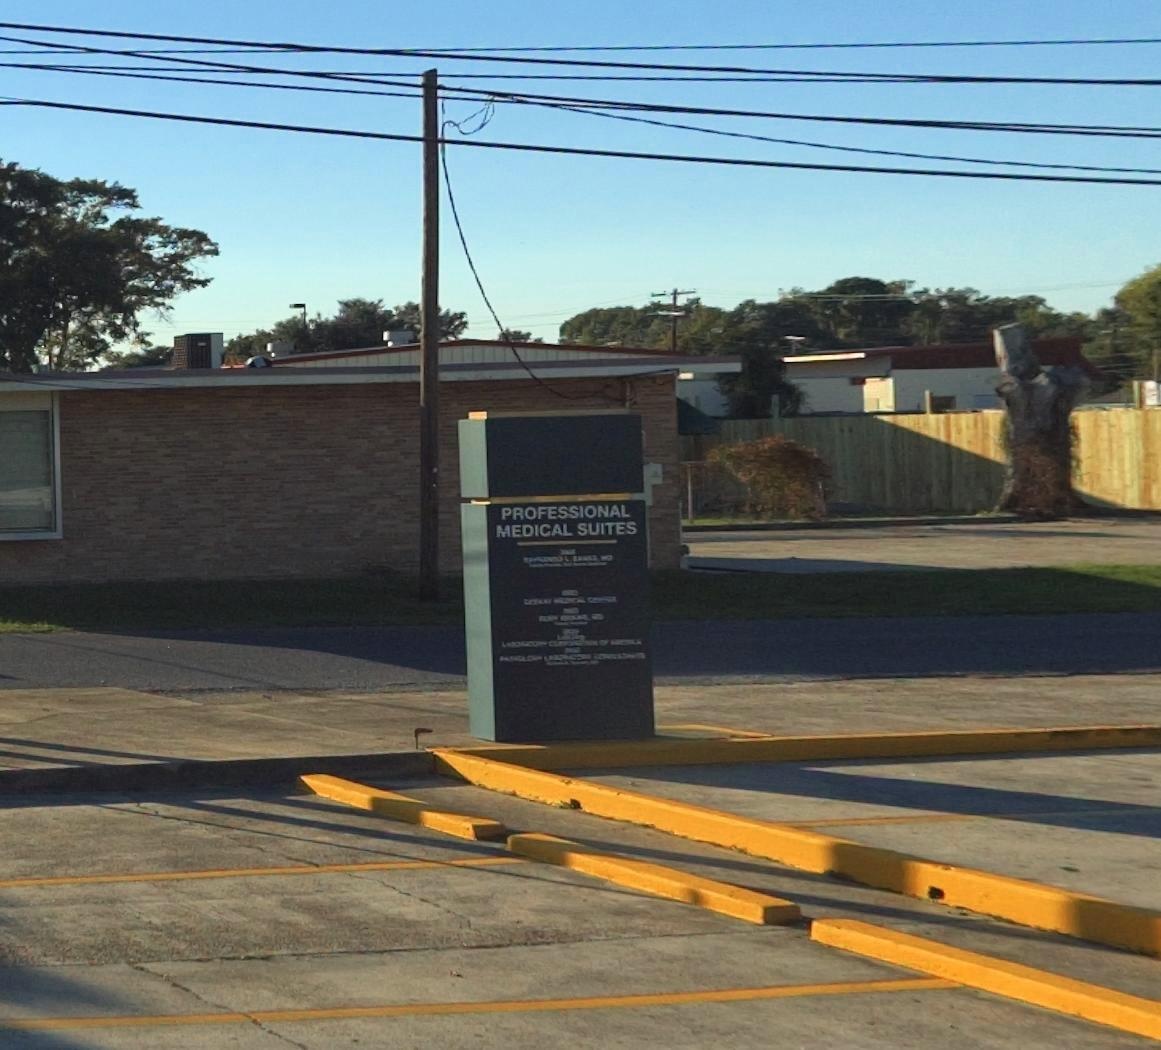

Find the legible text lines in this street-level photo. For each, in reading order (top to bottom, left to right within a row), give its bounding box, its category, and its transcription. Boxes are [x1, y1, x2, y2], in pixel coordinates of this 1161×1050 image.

[500, 503, 632, 522] BusinessName: PROFESSIONAL
[494, 520, 639, 539] BusinessName: MEDICAL SUITES